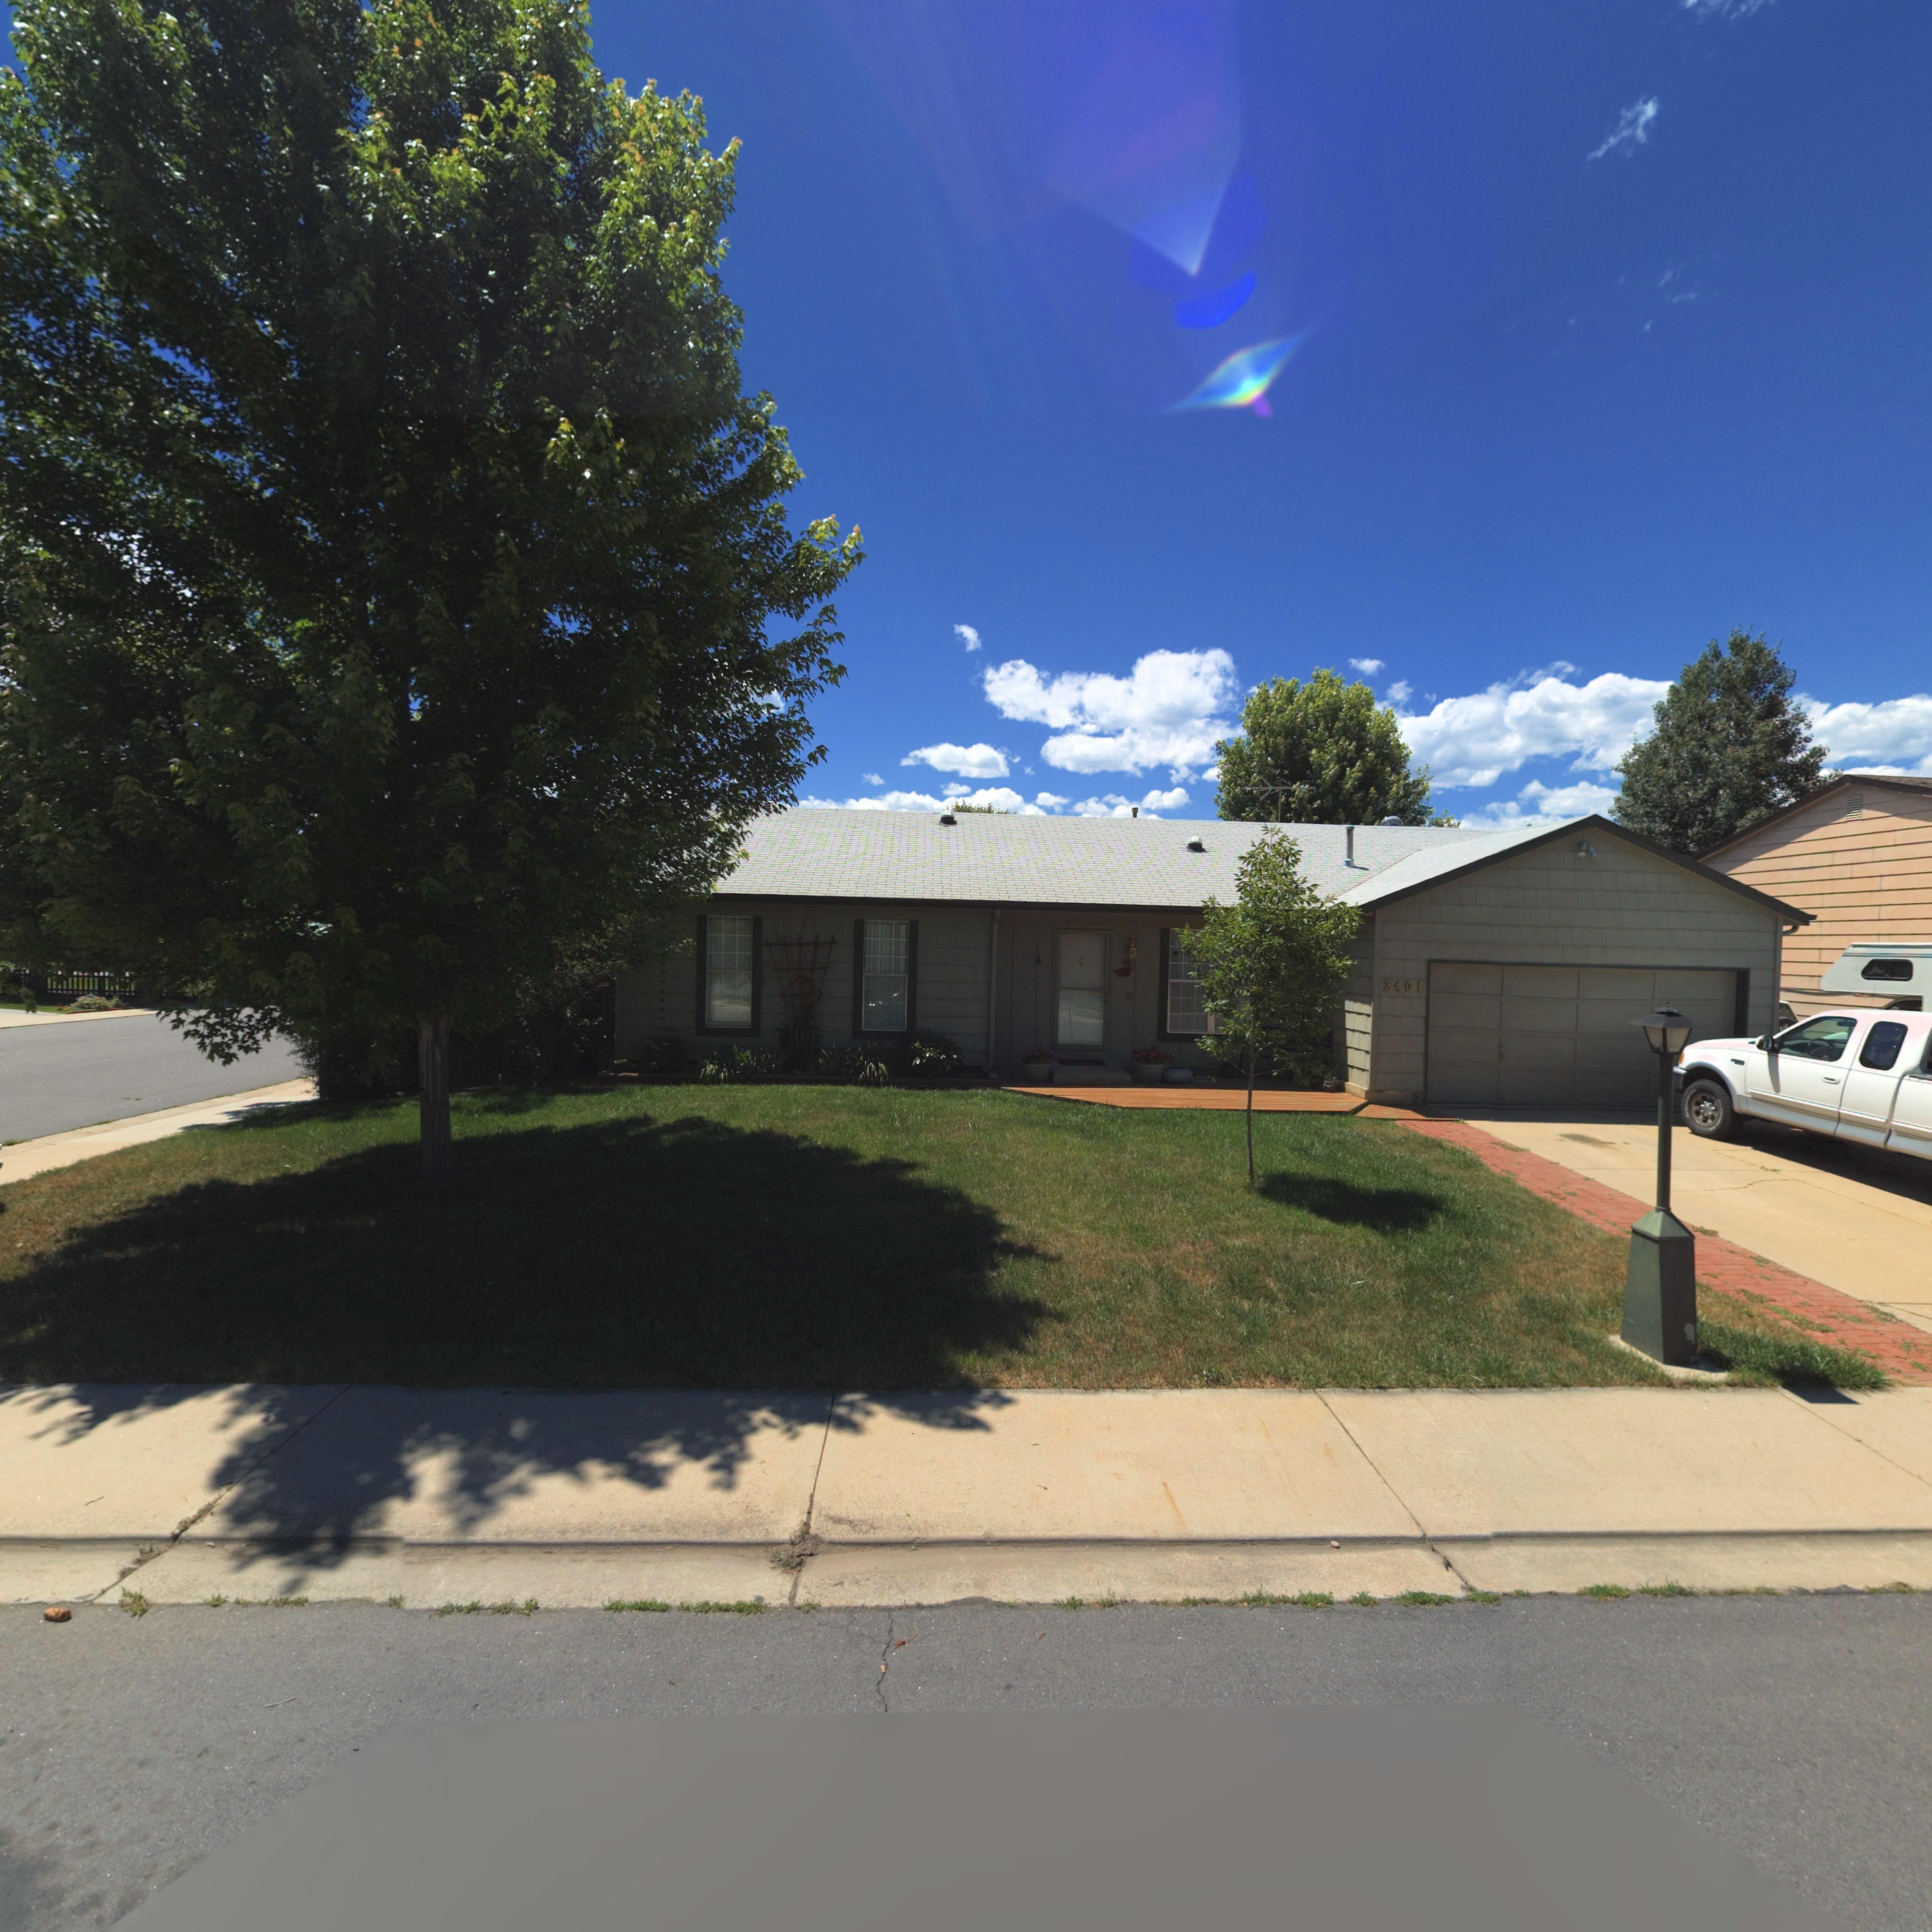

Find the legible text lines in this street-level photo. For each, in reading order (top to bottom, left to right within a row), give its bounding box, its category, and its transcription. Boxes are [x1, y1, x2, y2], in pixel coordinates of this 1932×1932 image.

[1383, 980, 1421, 993] StreetNumber: 2401